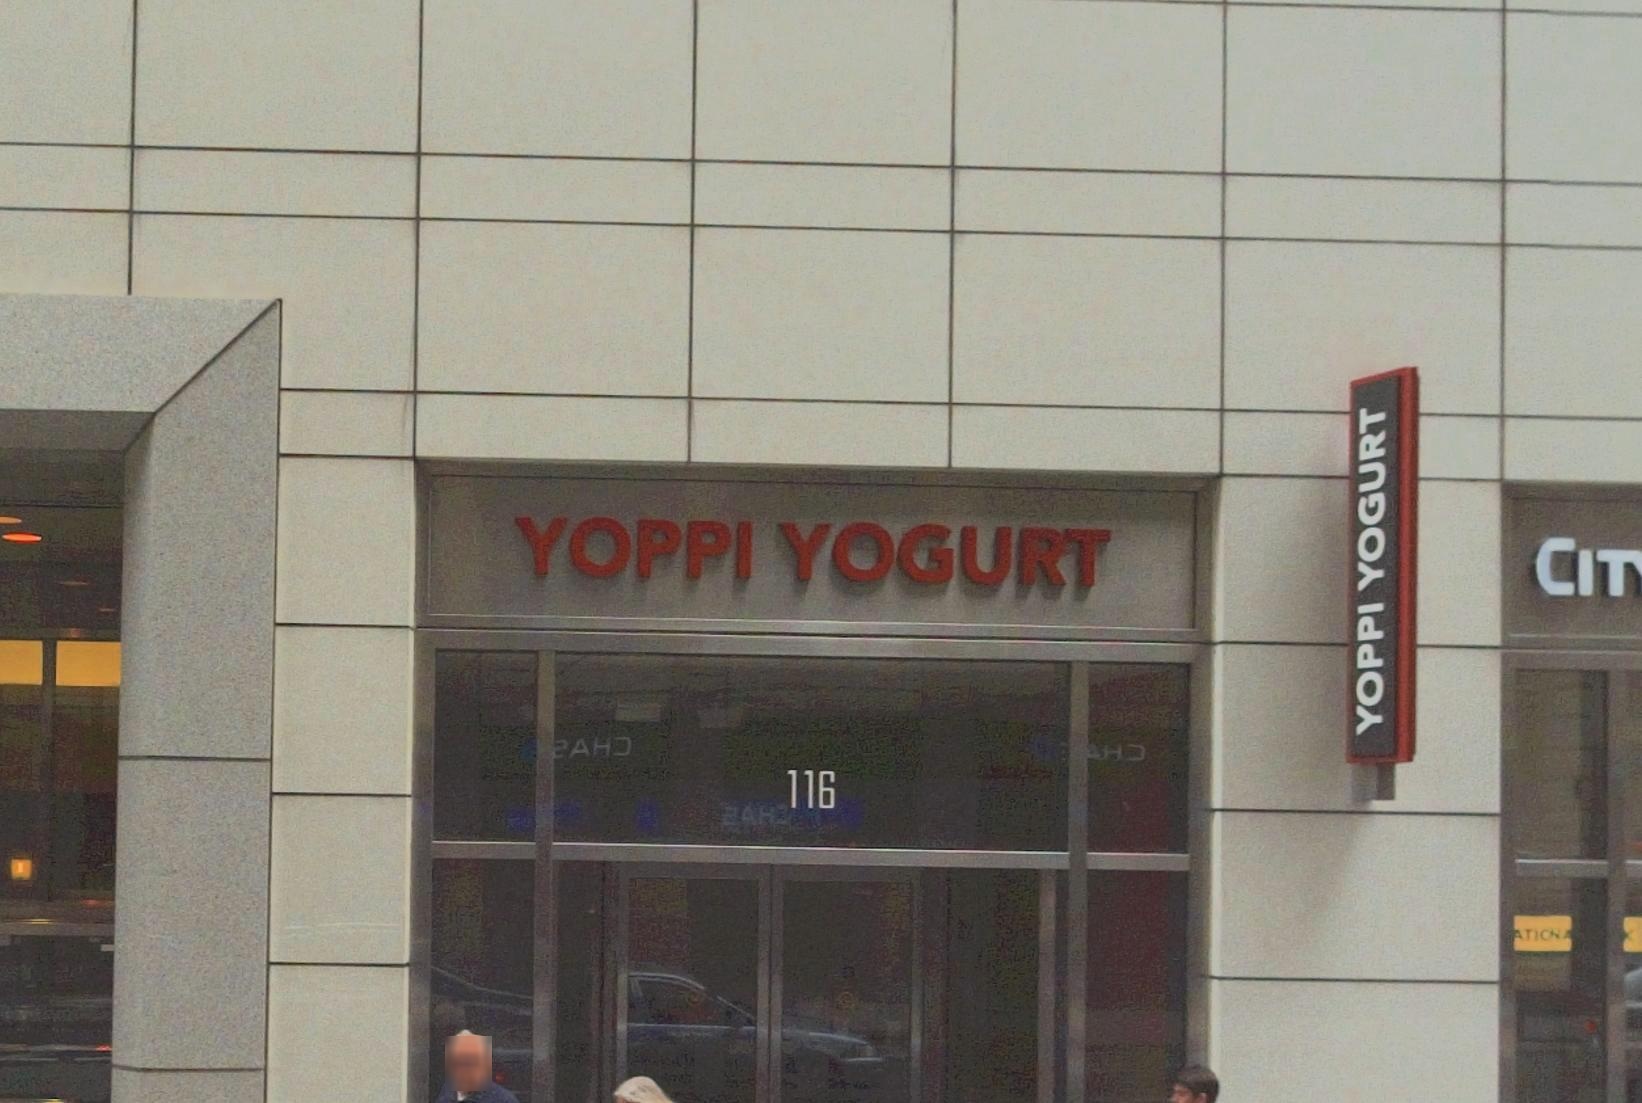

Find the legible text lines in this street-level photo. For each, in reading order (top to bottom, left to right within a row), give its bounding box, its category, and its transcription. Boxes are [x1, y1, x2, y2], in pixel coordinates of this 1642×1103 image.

[508, 512, 1118, 592] BusinessName: YOPPI YOGURT
[1351, 403, 1392, 743] BusinessName: YOPPI YOGURT
[1530, 533, 1639, 603] BusinessName: CIT
[547, 733, 635, 763] BusinessName: *AH*
[1101, 741, 1149, 764] BusinessName: H*
[782, 765, 840, 812] StreetNumber: 116
[718, 800, 777, 830] BusinessName: *AH
[1521, 925, 1564, 944] None: TION